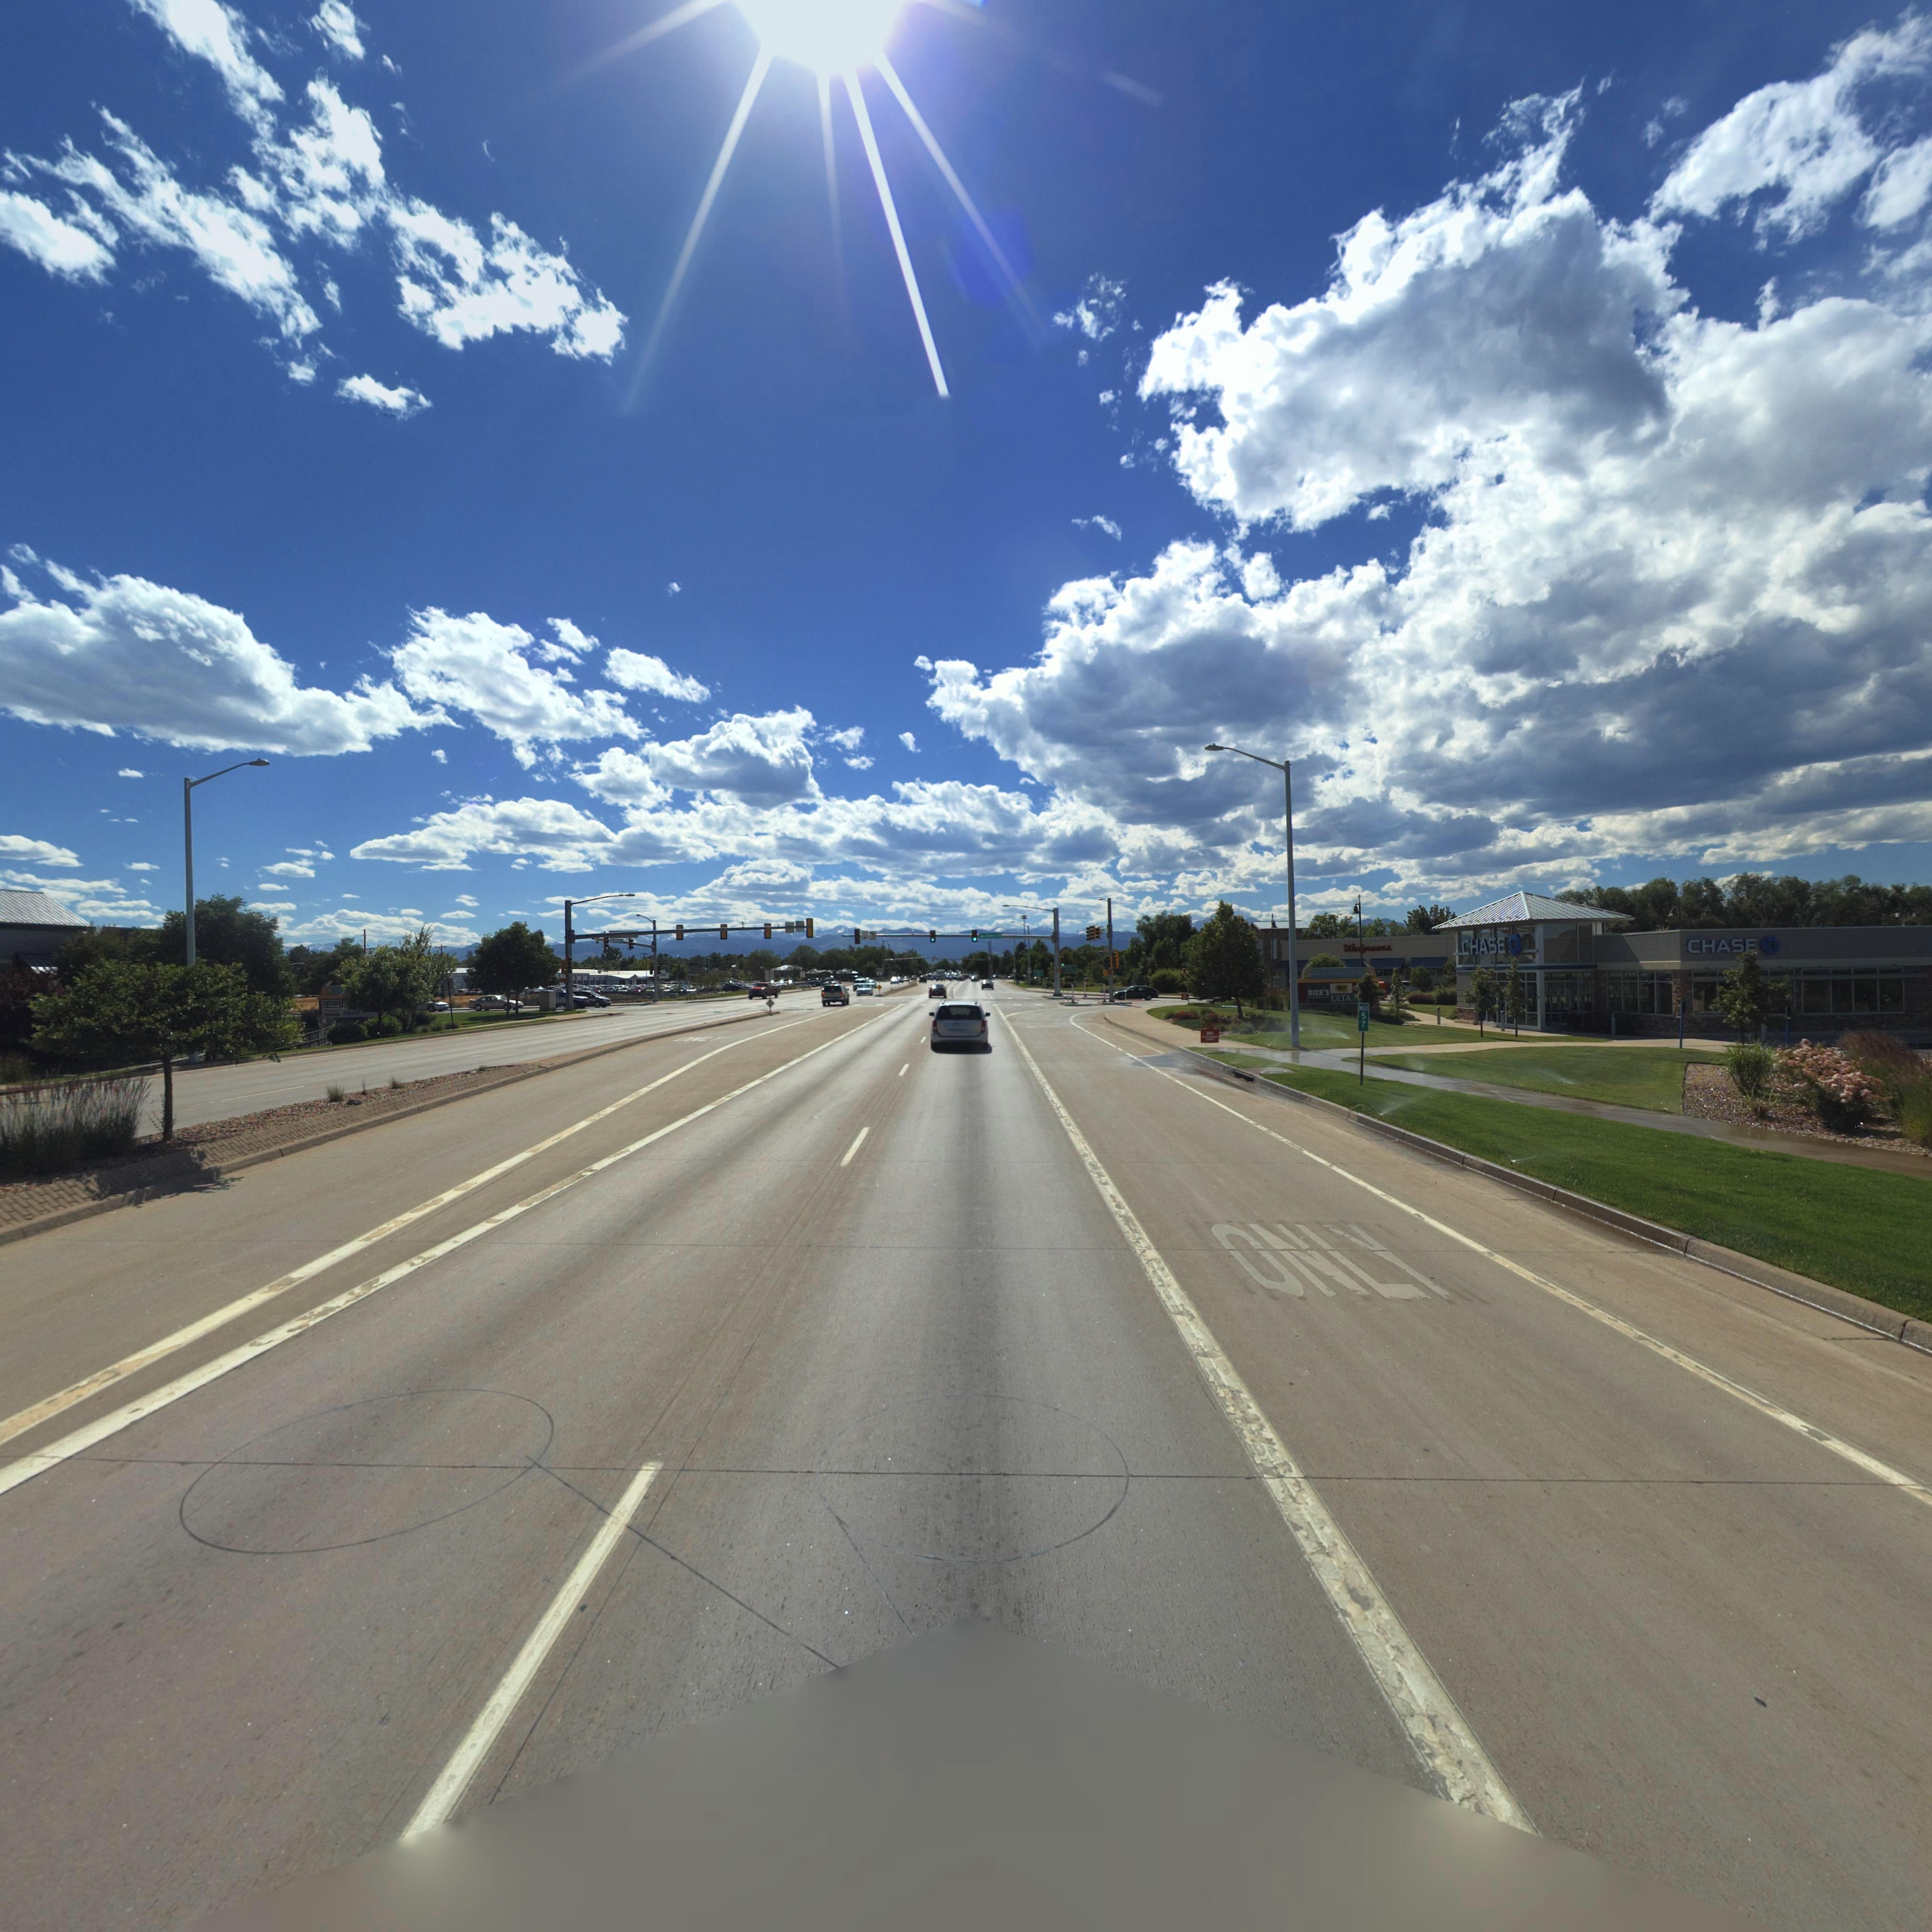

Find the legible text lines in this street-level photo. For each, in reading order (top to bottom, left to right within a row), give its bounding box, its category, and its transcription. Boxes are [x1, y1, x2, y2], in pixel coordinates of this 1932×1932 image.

[985, 933, 1001, 938] StreetName: Emery St
[1460, 936, 1508, 956] BusinessName: CHASE
[1687, 937, 1758, 953] BusinessName: CHASE
[1341, 942, 1392, 955] BusinessName: Walgreens
[1336, 987, 1345, 991] BusinessName: *UY
[1336, 985, 1347, 988] BusinessName: **ST
[1352, 985, 1357, 991] BusinessName: s
[1308, 988, 1330, 996] BusinessName: DICK'S
[1331, 994, 1352, 1002] BusinessName: ULTA
[328, 1004, 340, 1007] BusinessName: ****D
[323, 1012, 339, 1017] BusinessName: **T CO